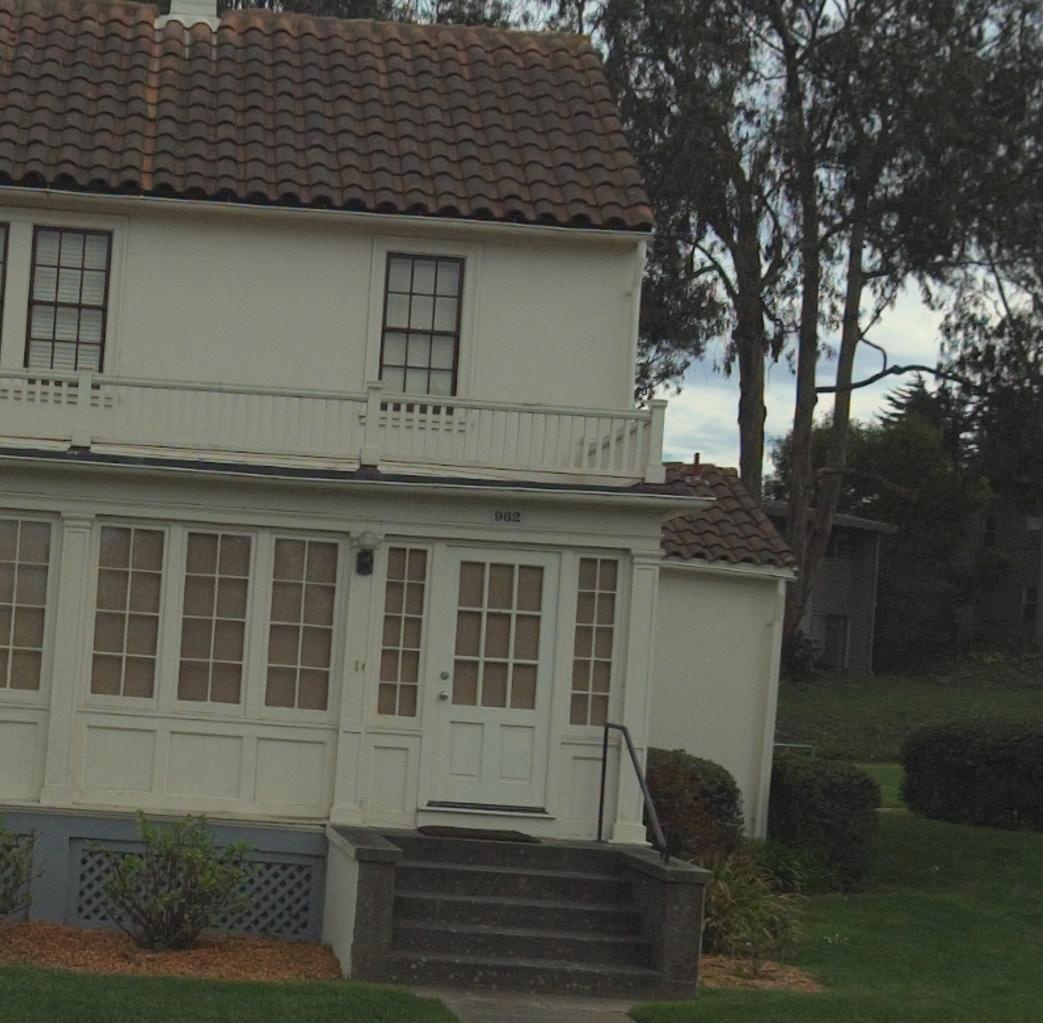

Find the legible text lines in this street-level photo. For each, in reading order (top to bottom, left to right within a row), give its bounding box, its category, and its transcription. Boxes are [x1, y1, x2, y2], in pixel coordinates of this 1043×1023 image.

[493, 510, 522, 524] StreetNumber: 962